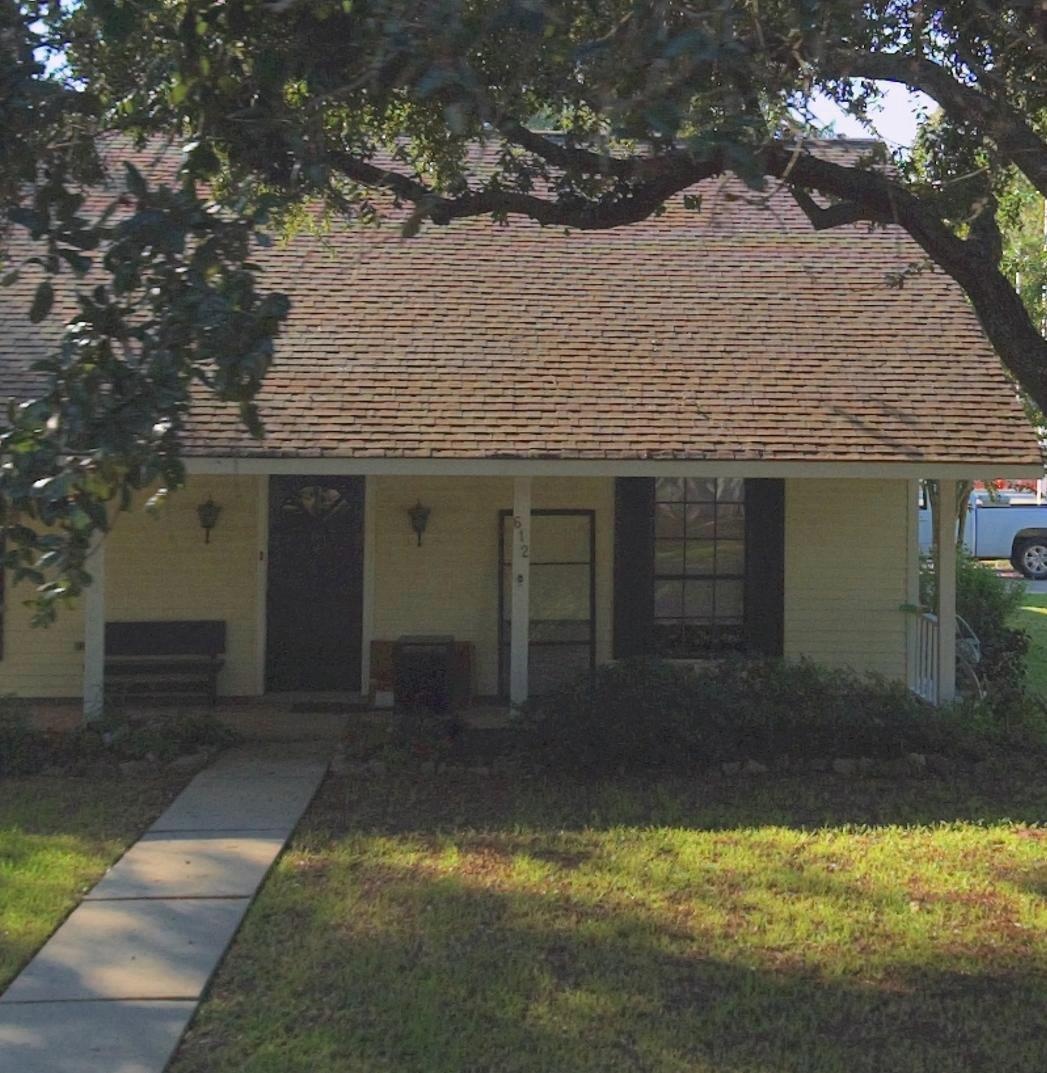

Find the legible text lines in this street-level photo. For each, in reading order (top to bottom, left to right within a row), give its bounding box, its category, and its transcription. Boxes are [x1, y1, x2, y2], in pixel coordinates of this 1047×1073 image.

[513, 515, 530, 558] StreetNumber: 612